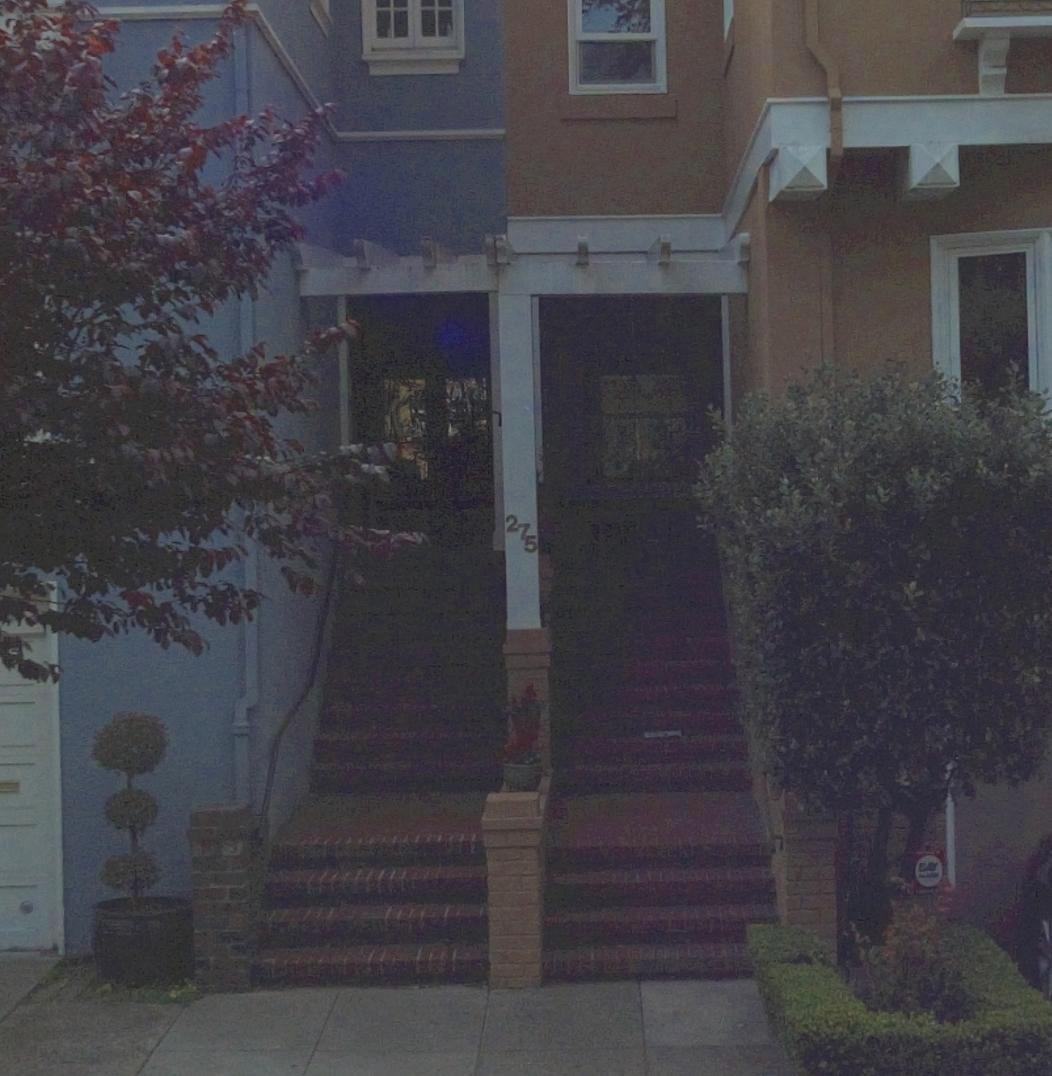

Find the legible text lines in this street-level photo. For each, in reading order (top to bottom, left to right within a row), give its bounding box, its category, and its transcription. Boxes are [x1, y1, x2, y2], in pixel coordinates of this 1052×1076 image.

[505, 514, 539, 553] StreetNumber: 275
[924, 862, 939, 872] None: AY